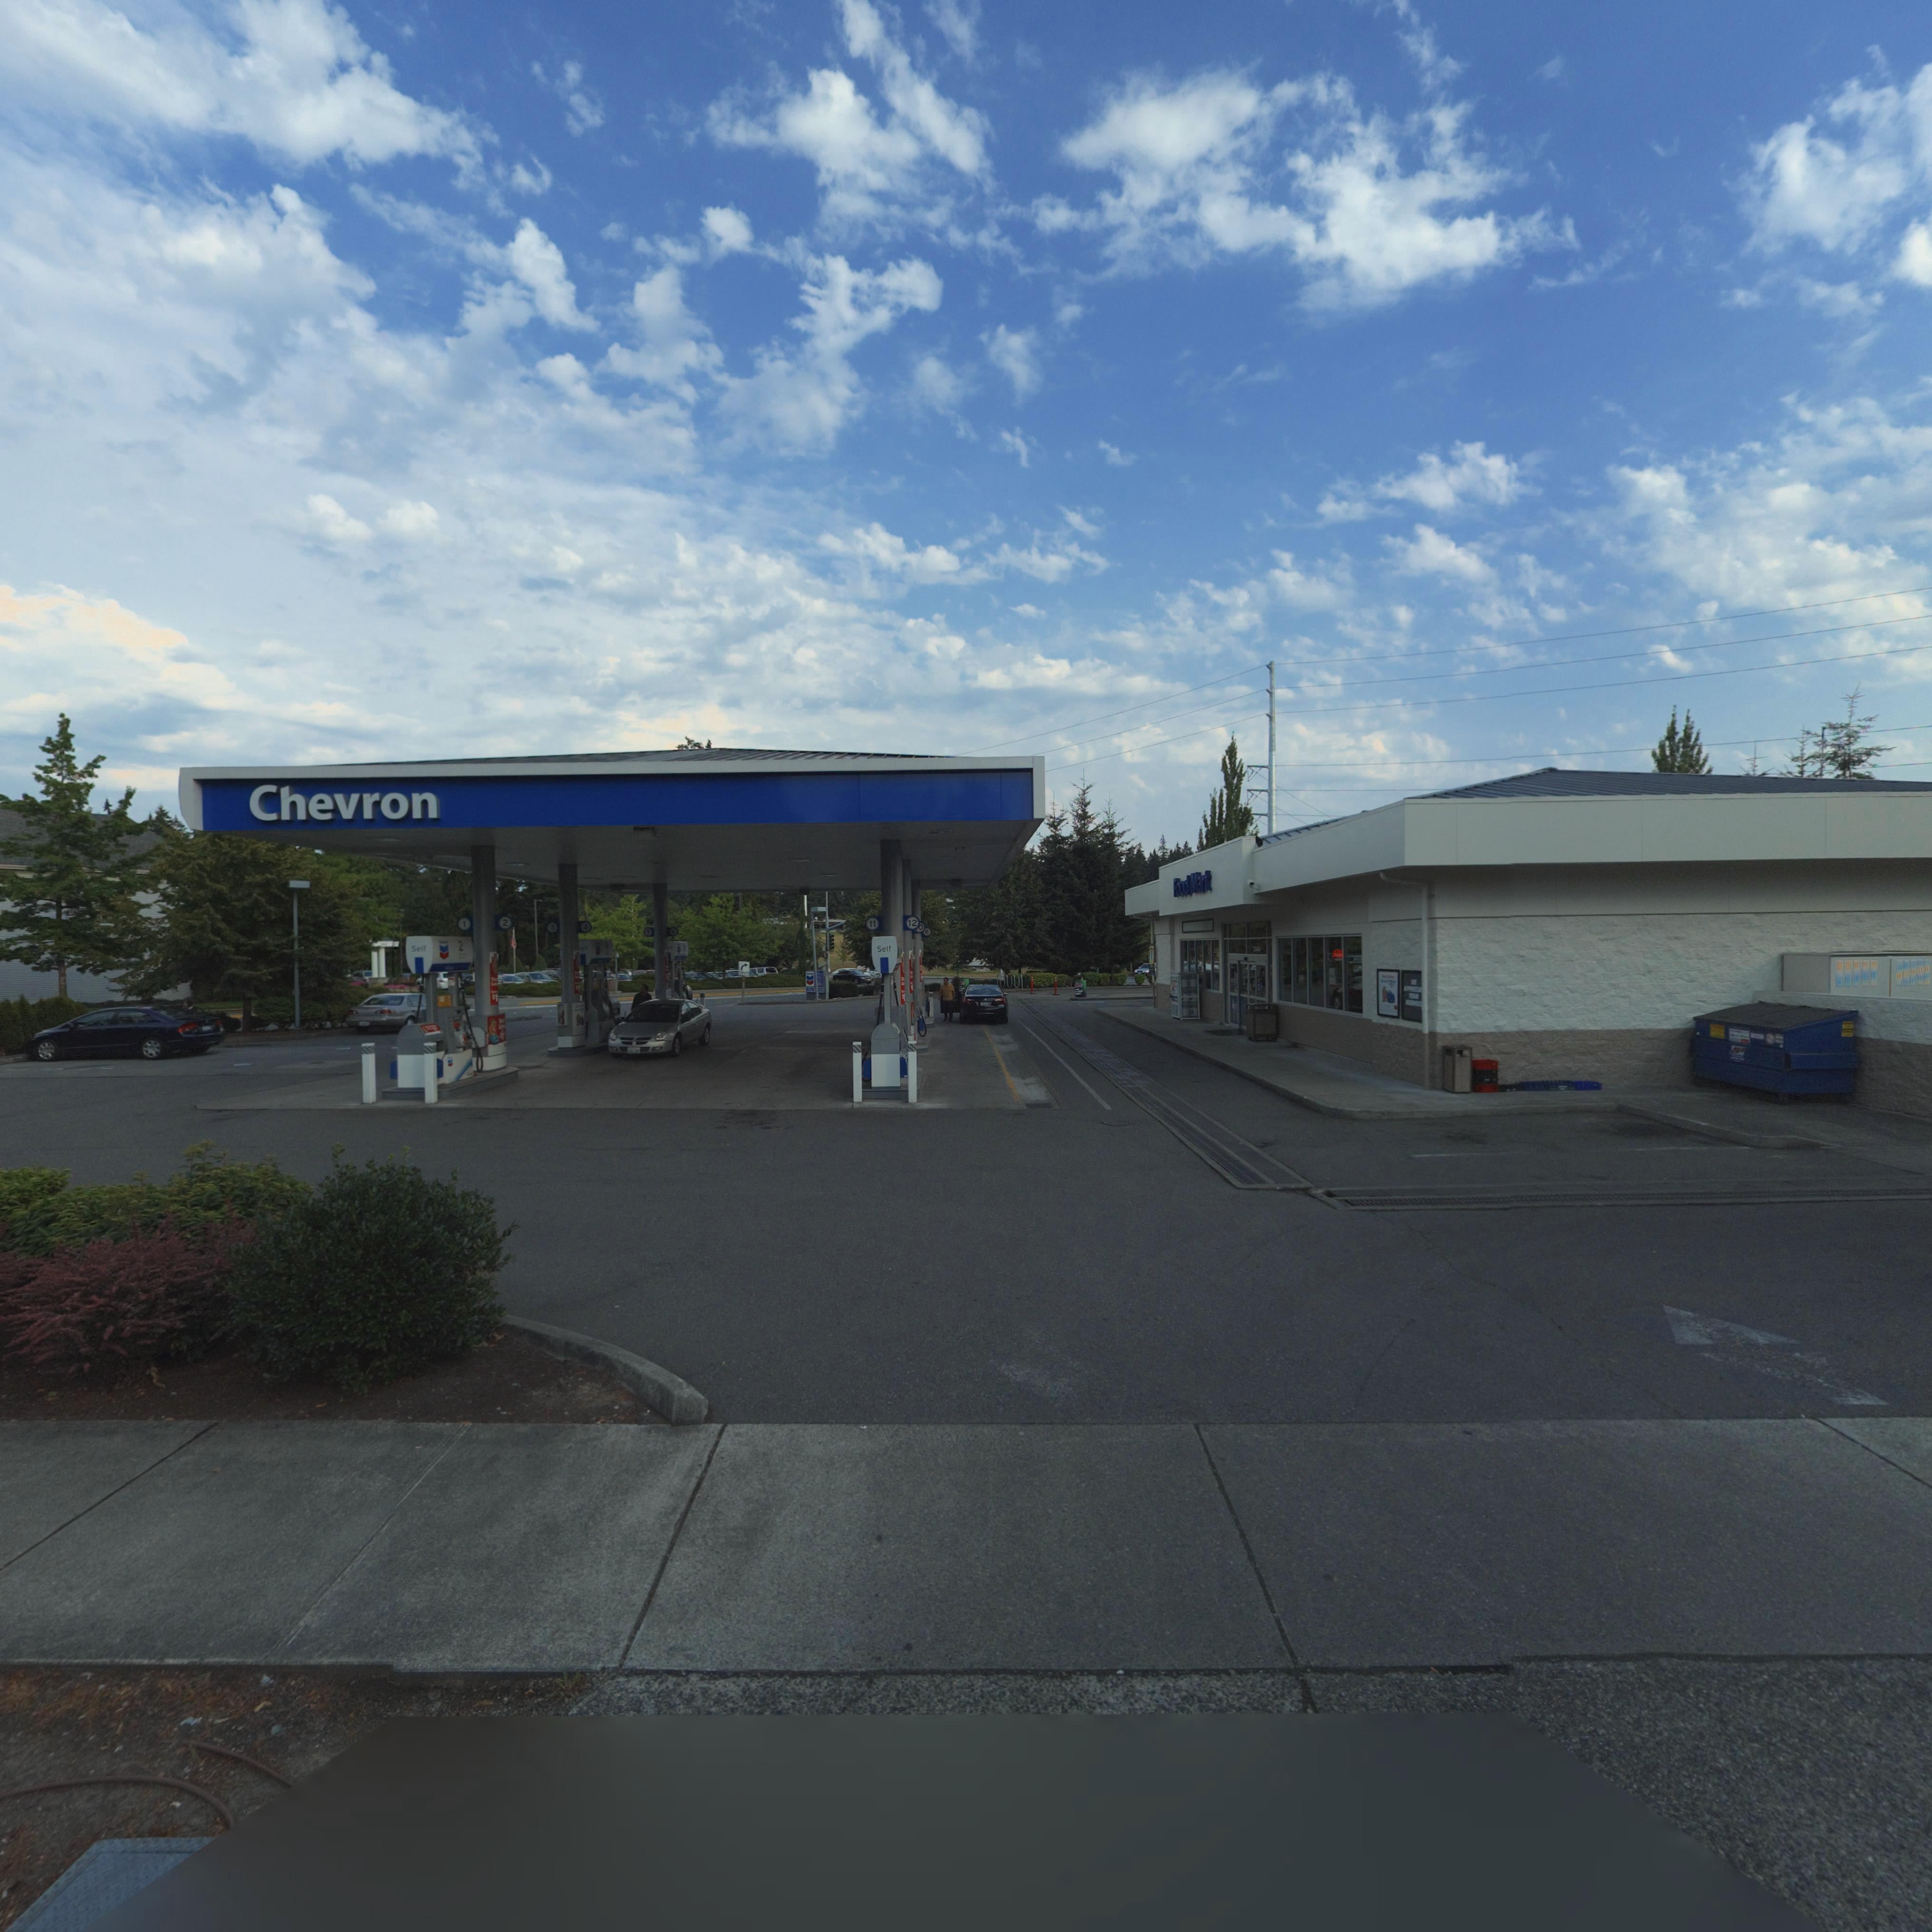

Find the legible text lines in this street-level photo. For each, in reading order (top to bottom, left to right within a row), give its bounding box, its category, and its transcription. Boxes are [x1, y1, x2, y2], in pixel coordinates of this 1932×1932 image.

[249, 784, 437, 820] BusinessName: Chevron